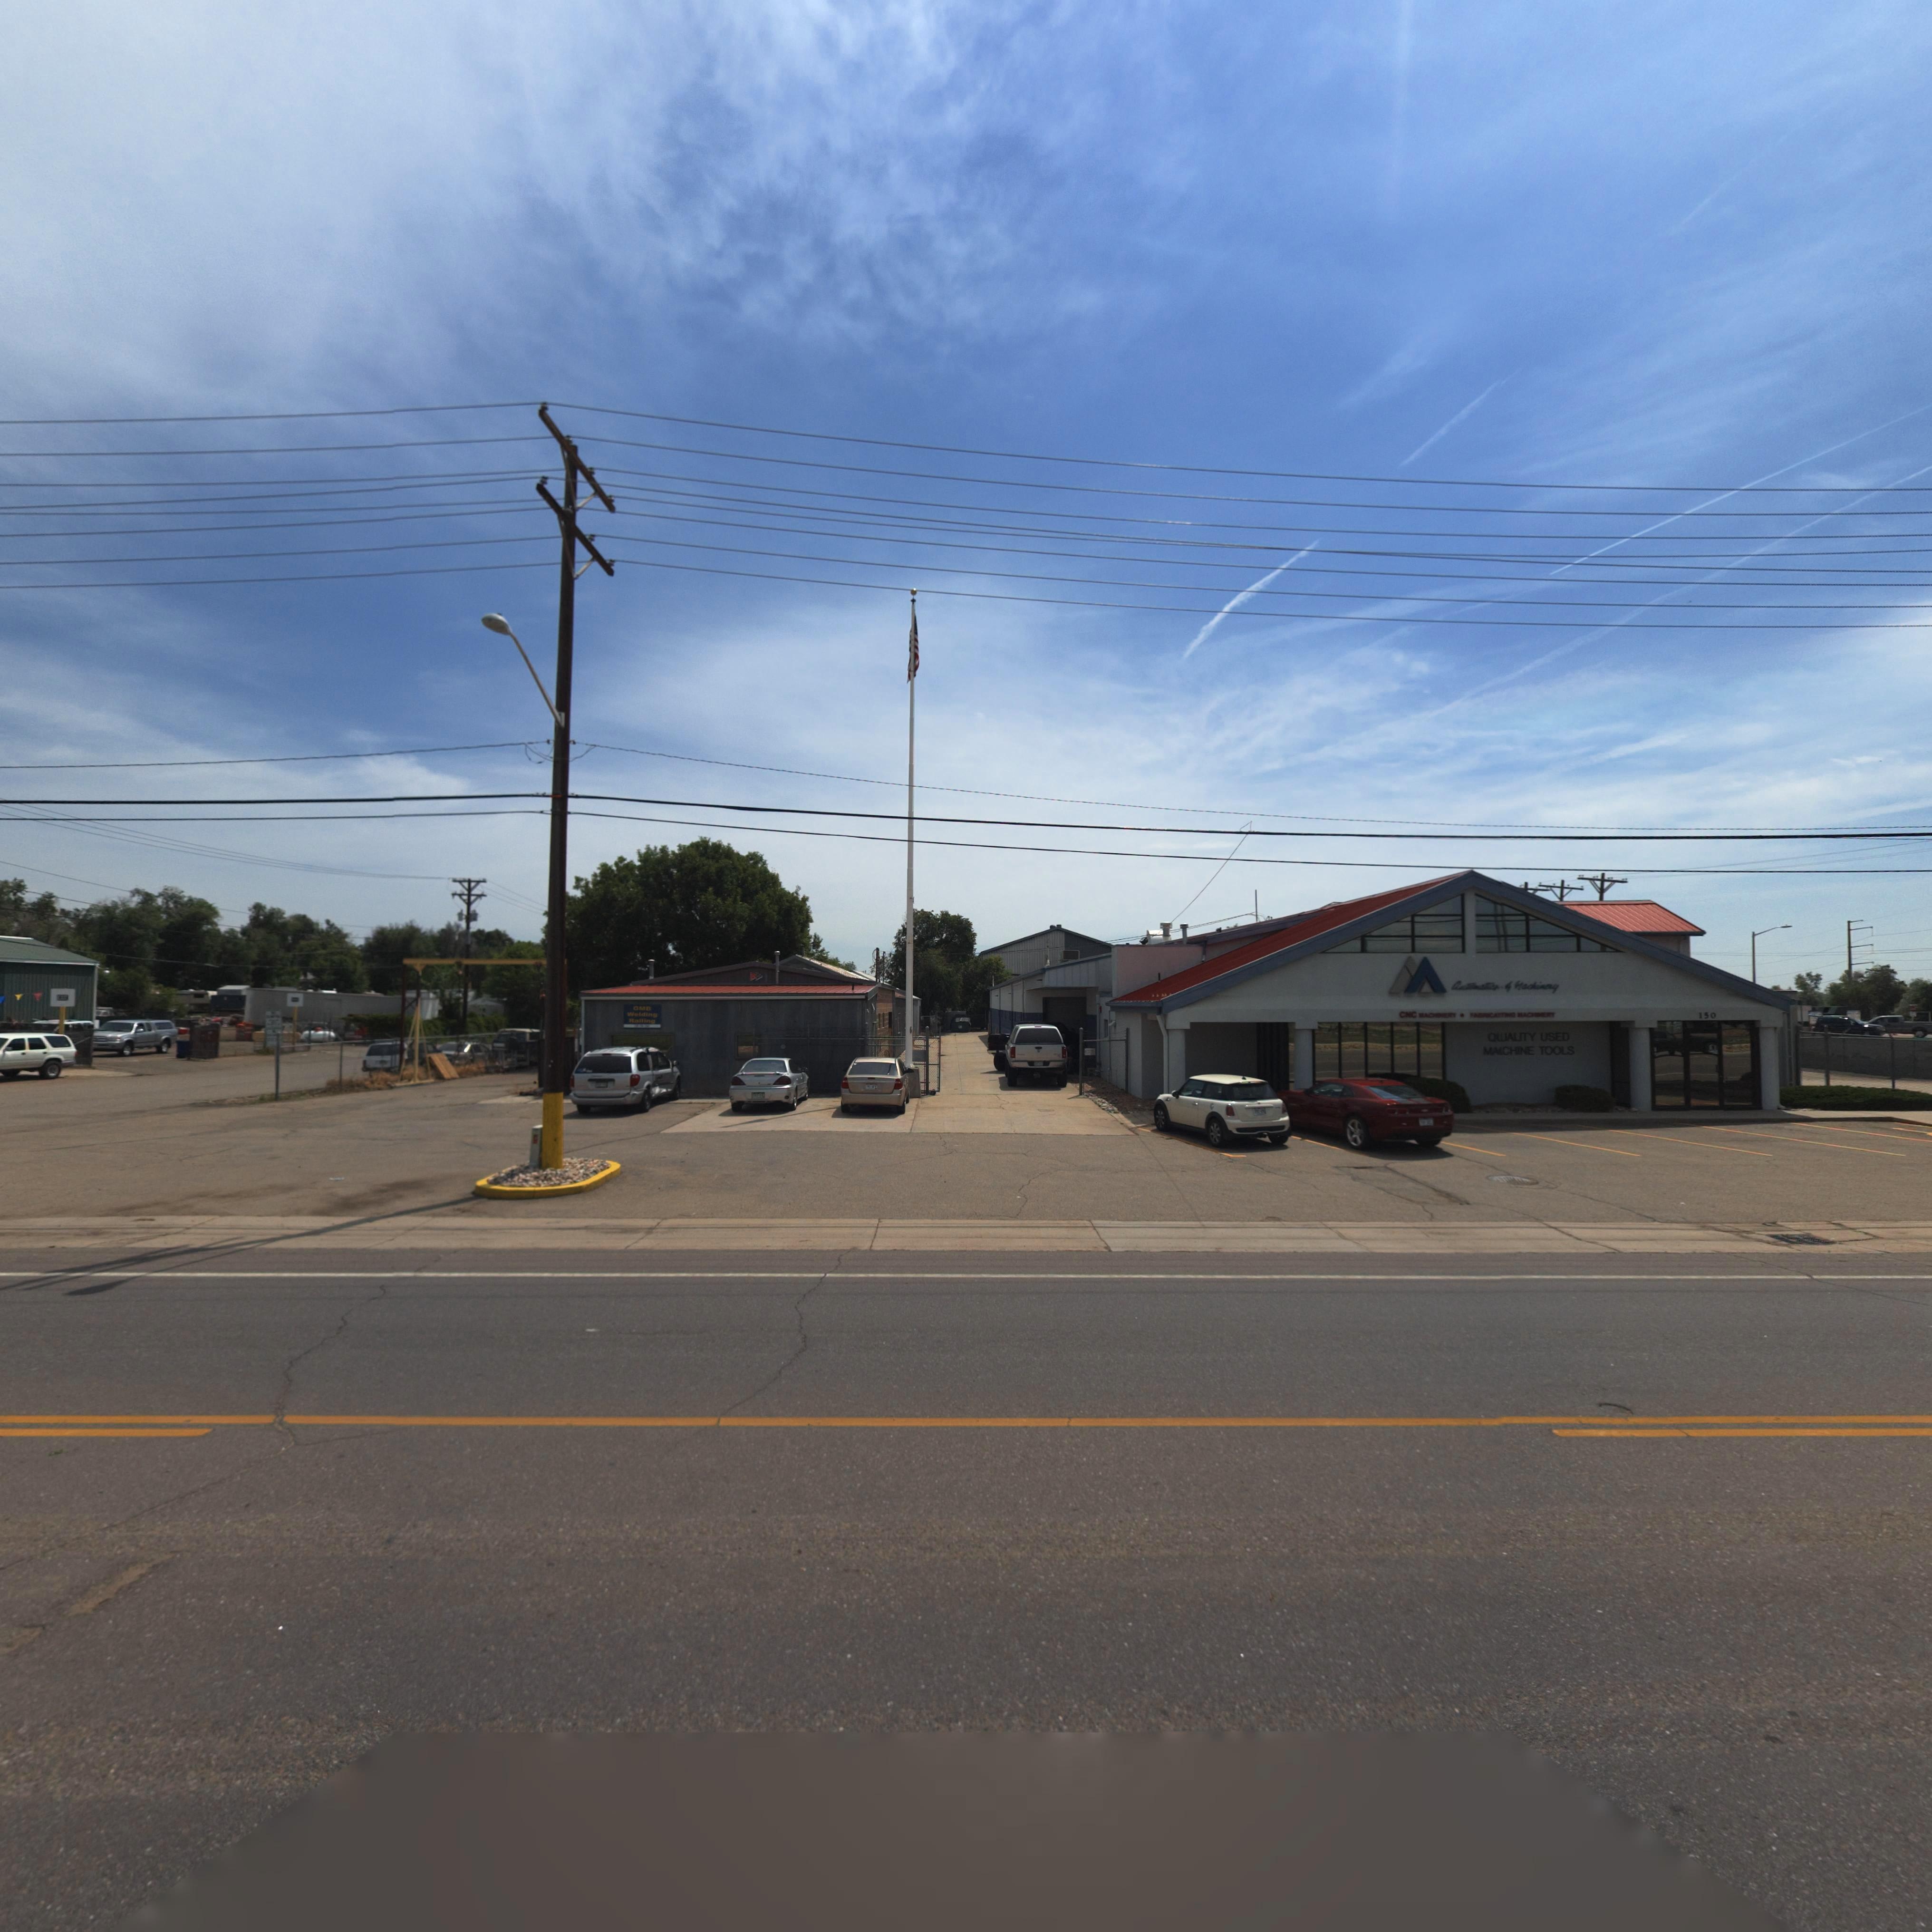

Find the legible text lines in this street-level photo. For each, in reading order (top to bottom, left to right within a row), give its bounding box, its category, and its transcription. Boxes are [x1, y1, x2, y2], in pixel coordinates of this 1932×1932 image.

[1450, 979, 1560, 995] BusinessName: Automatics * Machin*ry
[633, 1005, 651, 1011] BusinessName: GMB
[626, 1011, 657, 1018] BusinessName: Welding
[1699, 1012, 1716, 1019] StreetNumber: 150
[628, 1018, 656, 1024] BusinessName: Railing